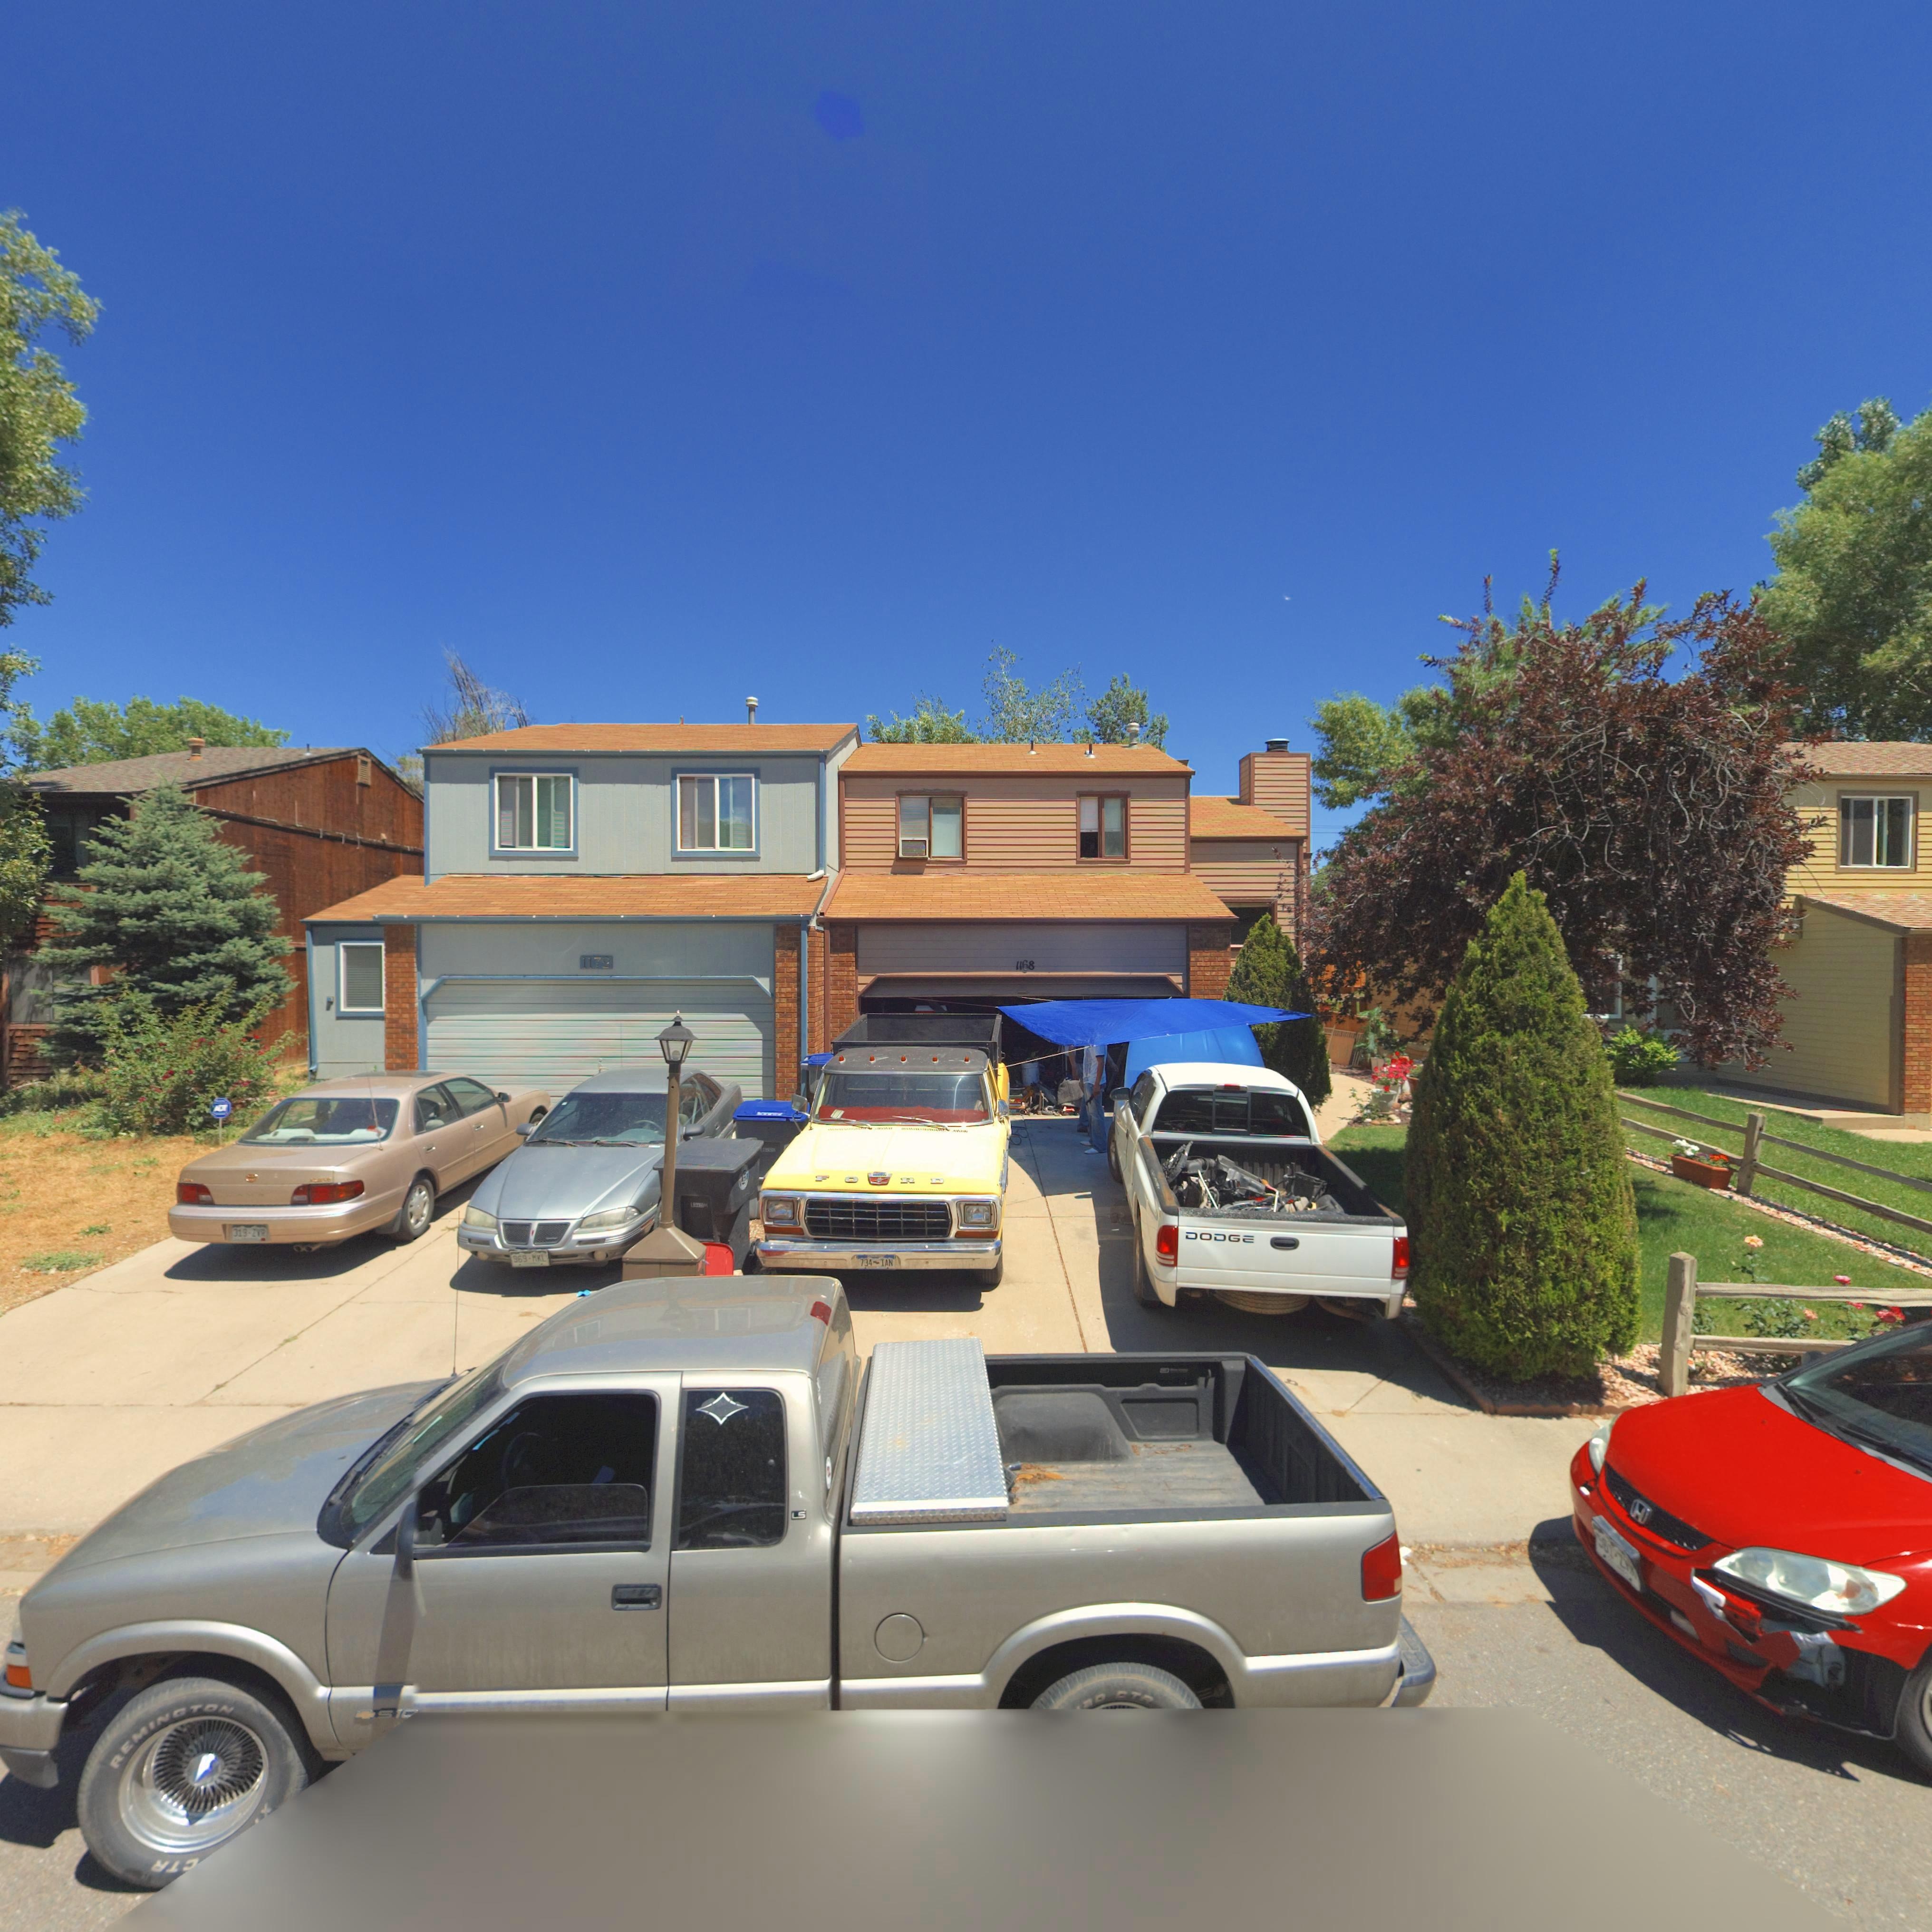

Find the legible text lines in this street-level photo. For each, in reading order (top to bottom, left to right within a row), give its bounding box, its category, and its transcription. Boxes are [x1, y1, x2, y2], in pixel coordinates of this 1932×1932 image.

[581, 956, 610, 969] StreetNumber: 1172
[1015, 959, 1035, 971] StreetNumber: 1168